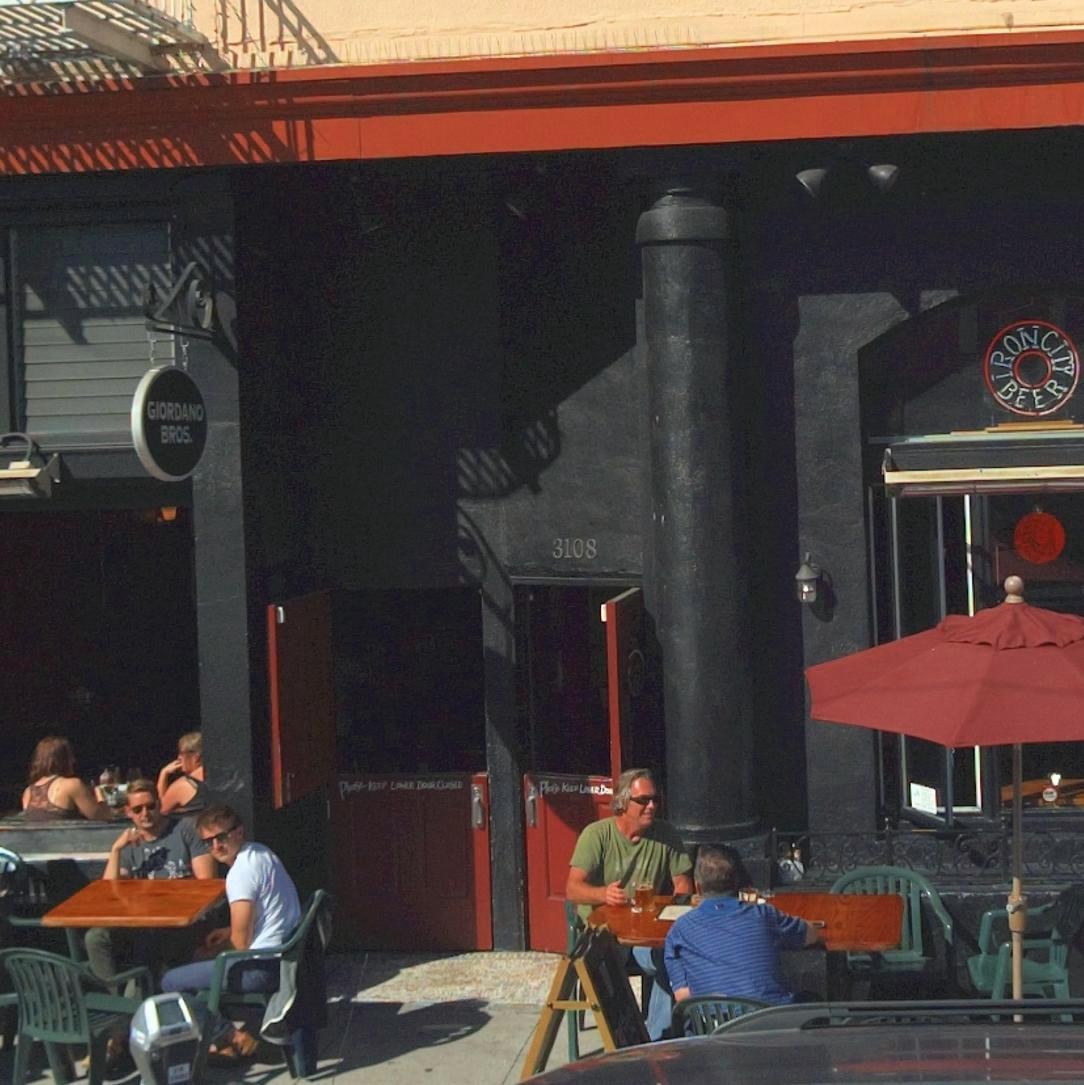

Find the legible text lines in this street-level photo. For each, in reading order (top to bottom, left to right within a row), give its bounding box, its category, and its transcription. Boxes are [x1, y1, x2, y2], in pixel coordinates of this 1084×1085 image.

[988, 323, 1077, 385] None: IRONCITY
[995, 378, 1071, 410] None: BEER
[144, 398, 206, 423] BusinessName: GIORDANO
[159, 422, 193, 446] BusinessName: BROS
[551, 537, 599, 561] StreetNumber: 3108